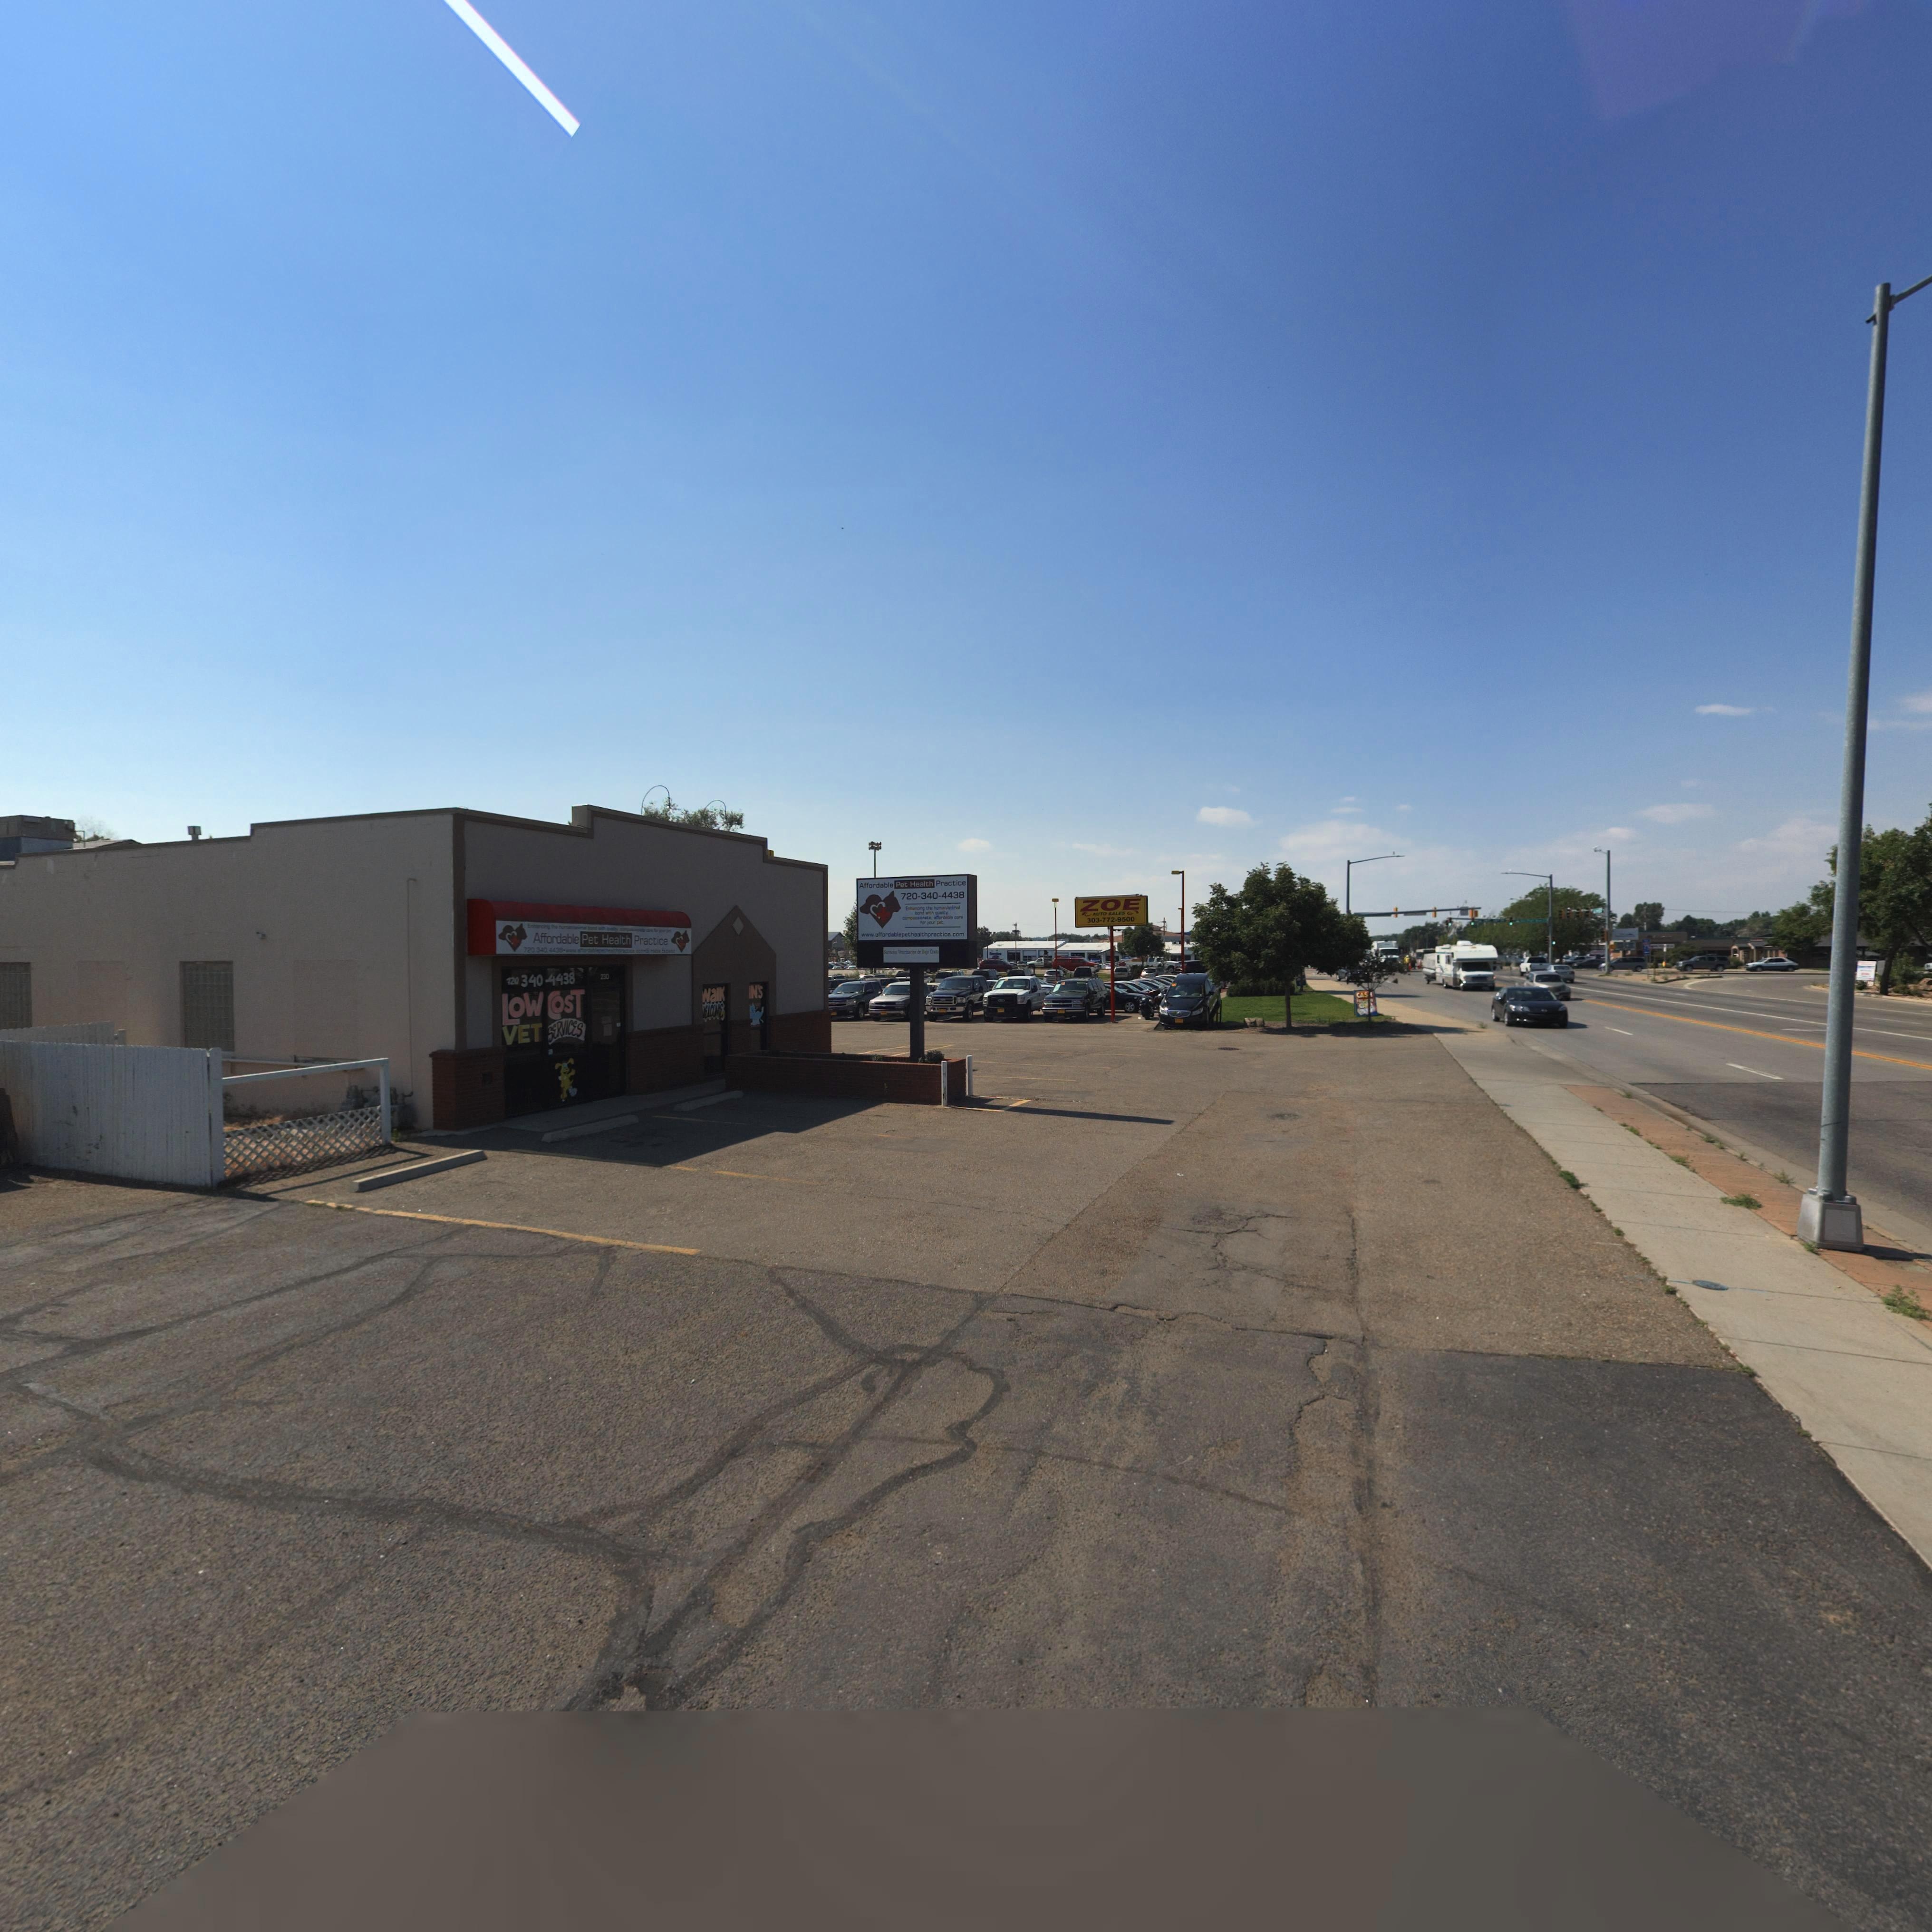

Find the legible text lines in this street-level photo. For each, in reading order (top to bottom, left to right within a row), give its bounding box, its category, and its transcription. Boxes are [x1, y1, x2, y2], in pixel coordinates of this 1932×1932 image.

[858, 879, 967, 889] BusinessName: Affordable Pet Health Practice
[1079, 897, 1142, 912] BusinessName: ZOE
[1092, 910, 1127, 916] BusinessName: AUTO SAL**
[532, 931, 668, 946] BusinessName: Affordable Pet Health Practice
[600, 973, 610, 980] StreetNumber: 230